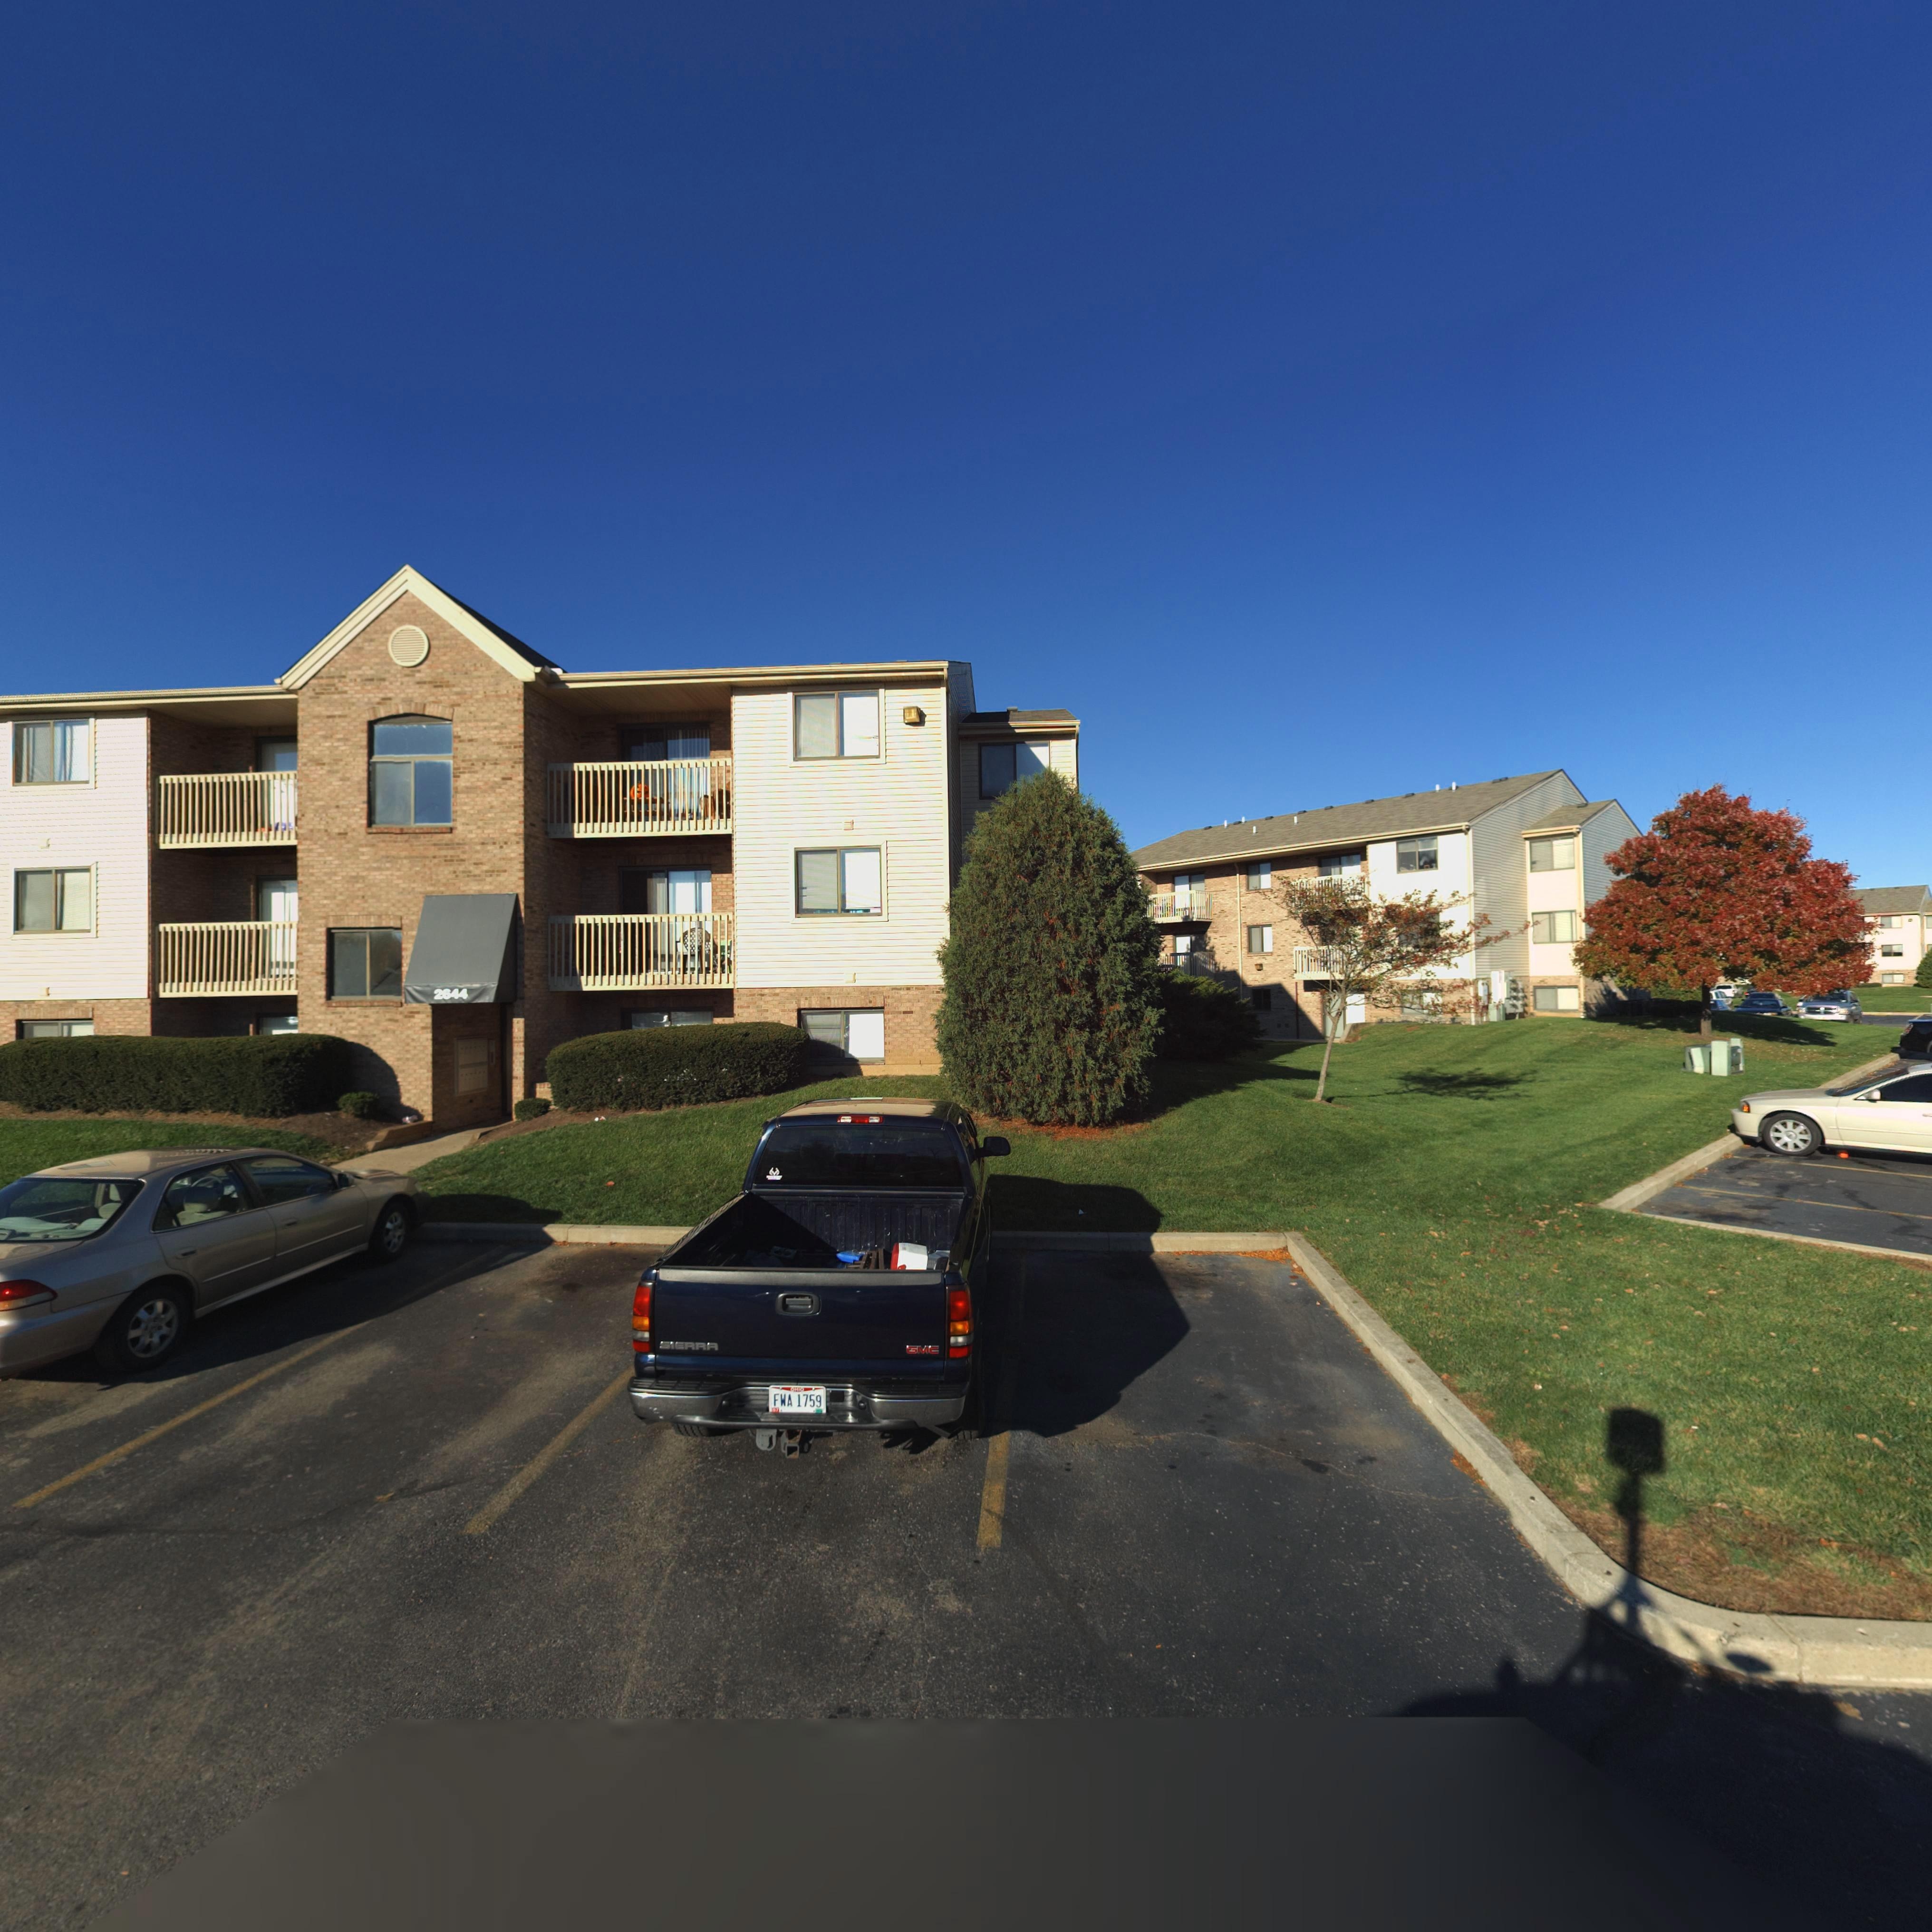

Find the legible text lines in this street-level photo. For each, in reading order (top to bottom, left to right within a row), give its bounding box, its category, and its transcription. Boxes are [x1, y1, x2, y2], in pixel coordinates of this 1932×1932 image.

[433, 987, 469, 1001] StreetNumber: 2644